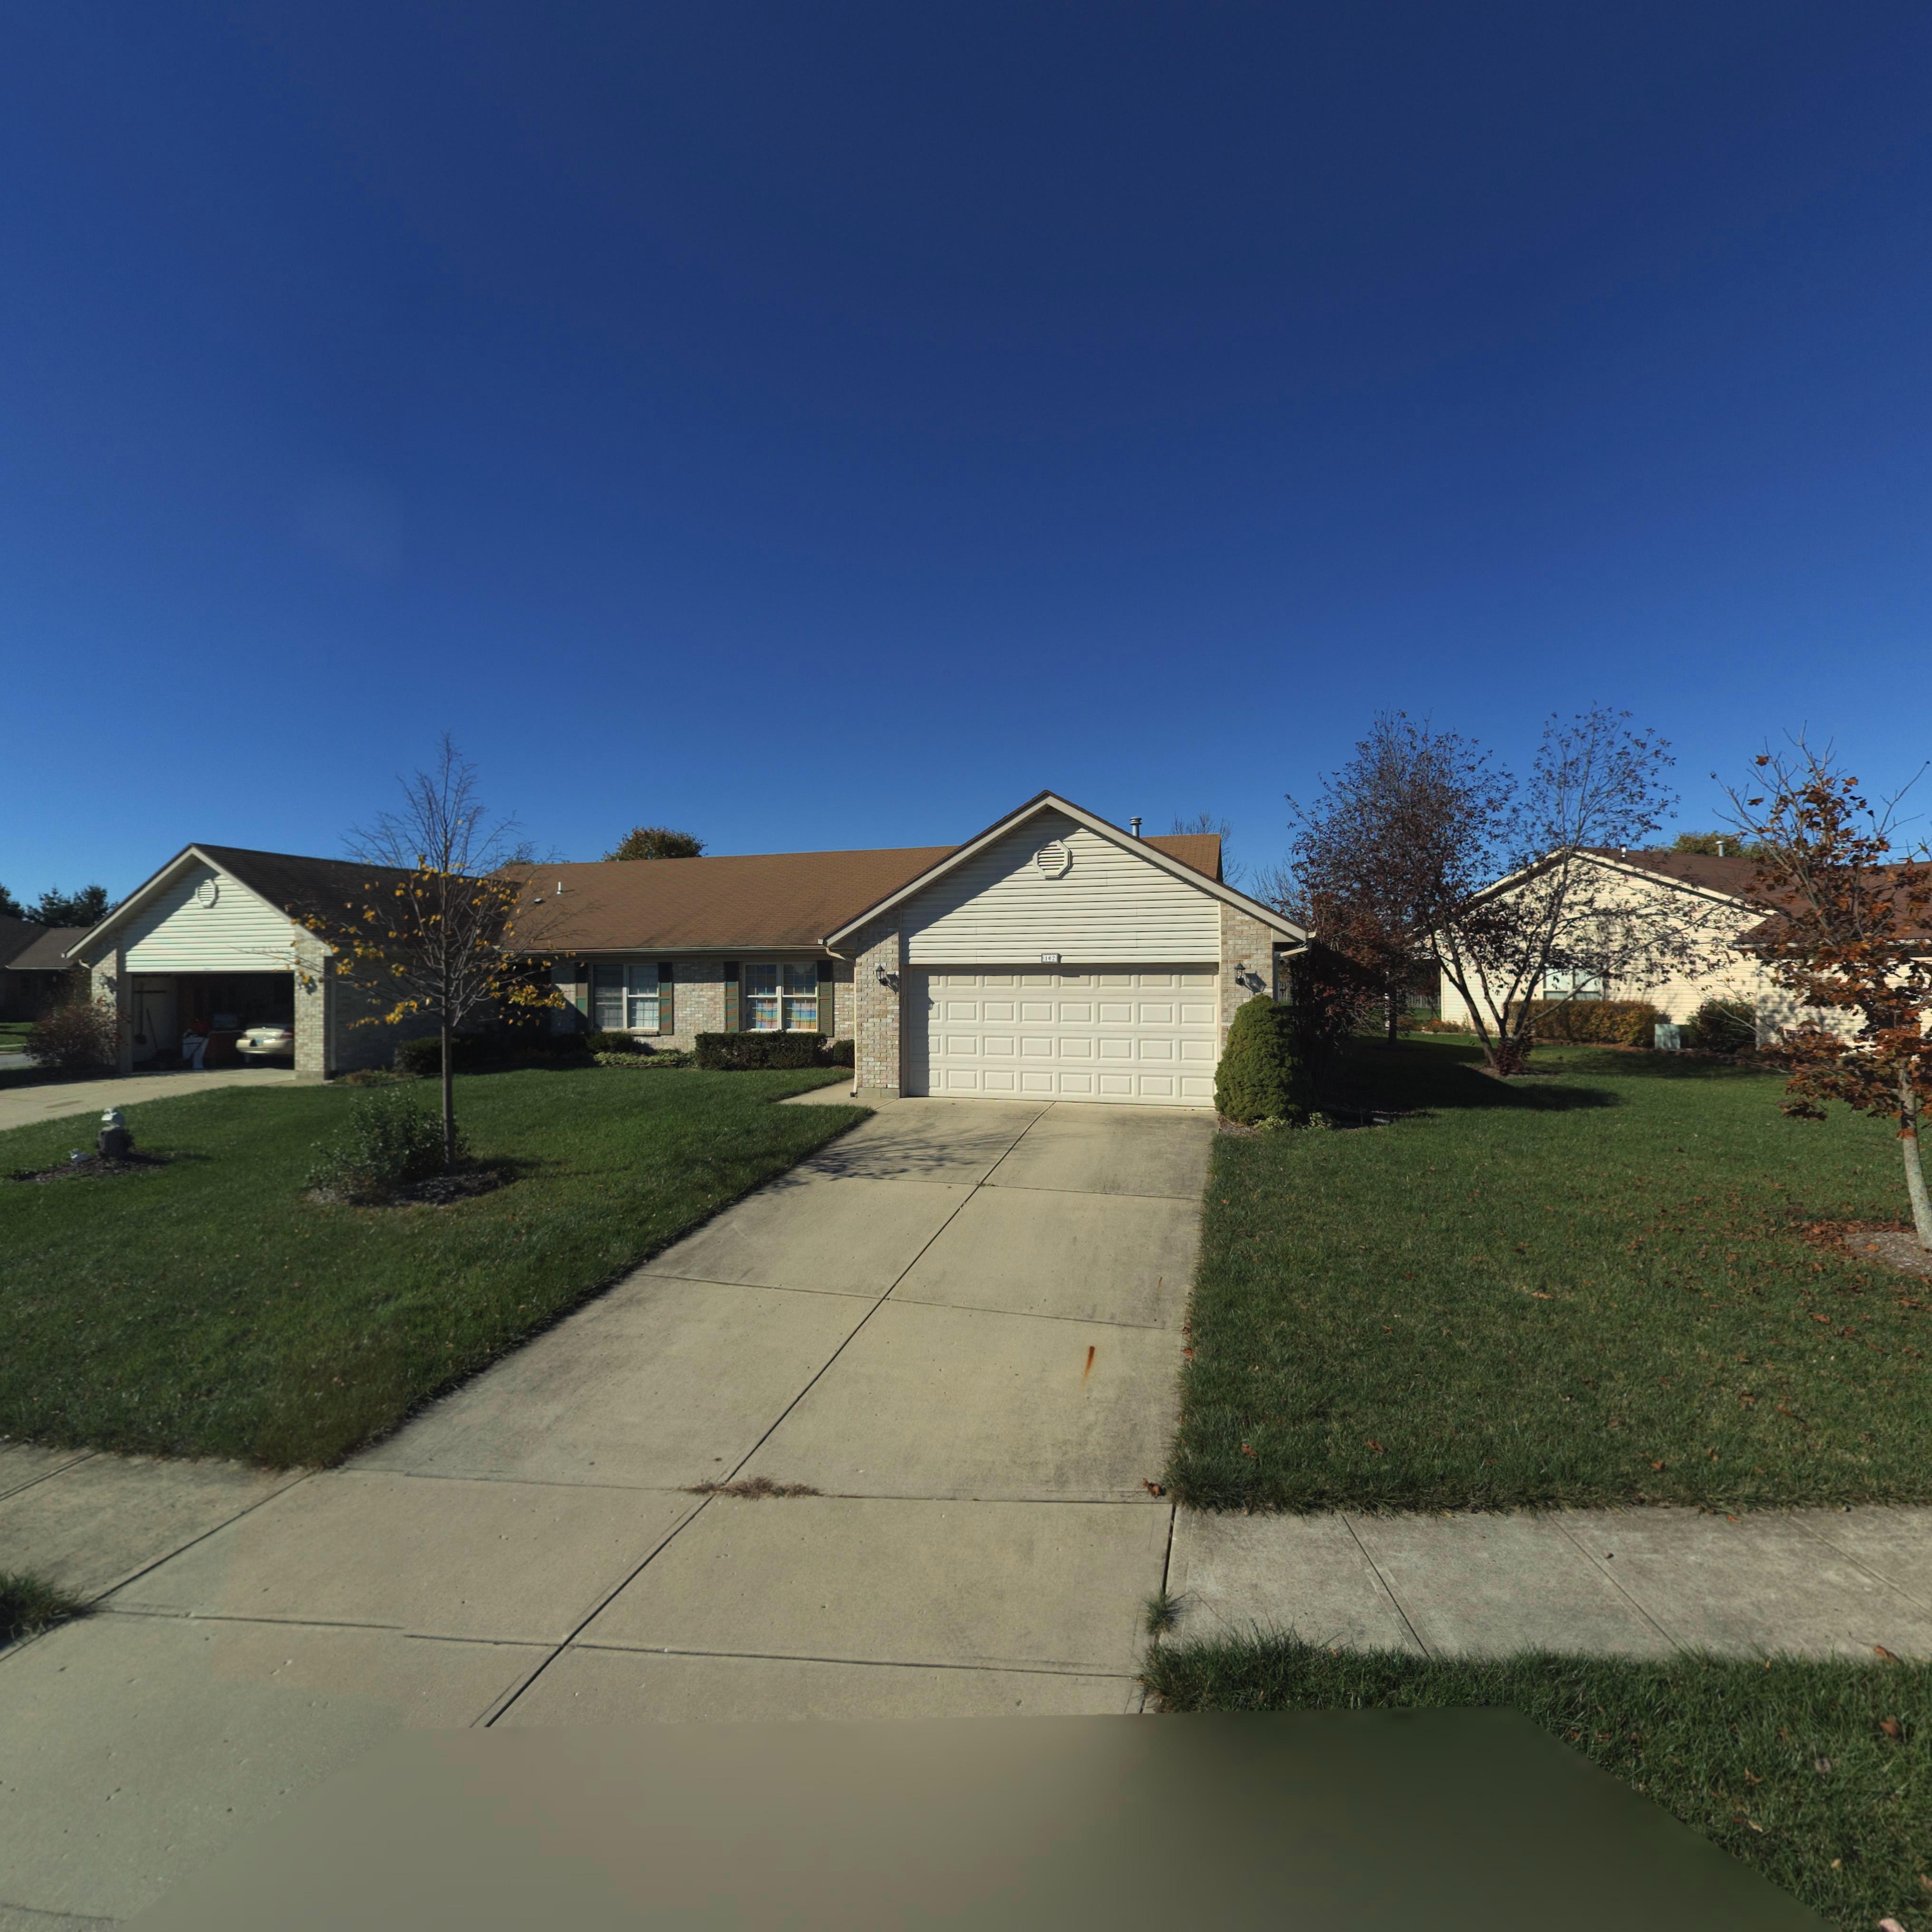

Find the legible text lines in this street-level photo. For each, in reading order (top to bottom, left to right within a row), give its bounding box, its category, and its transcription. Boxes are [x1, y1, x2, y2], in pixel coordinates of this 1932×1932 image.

[1045, 956, 1055, 961] StreetNumber: 102